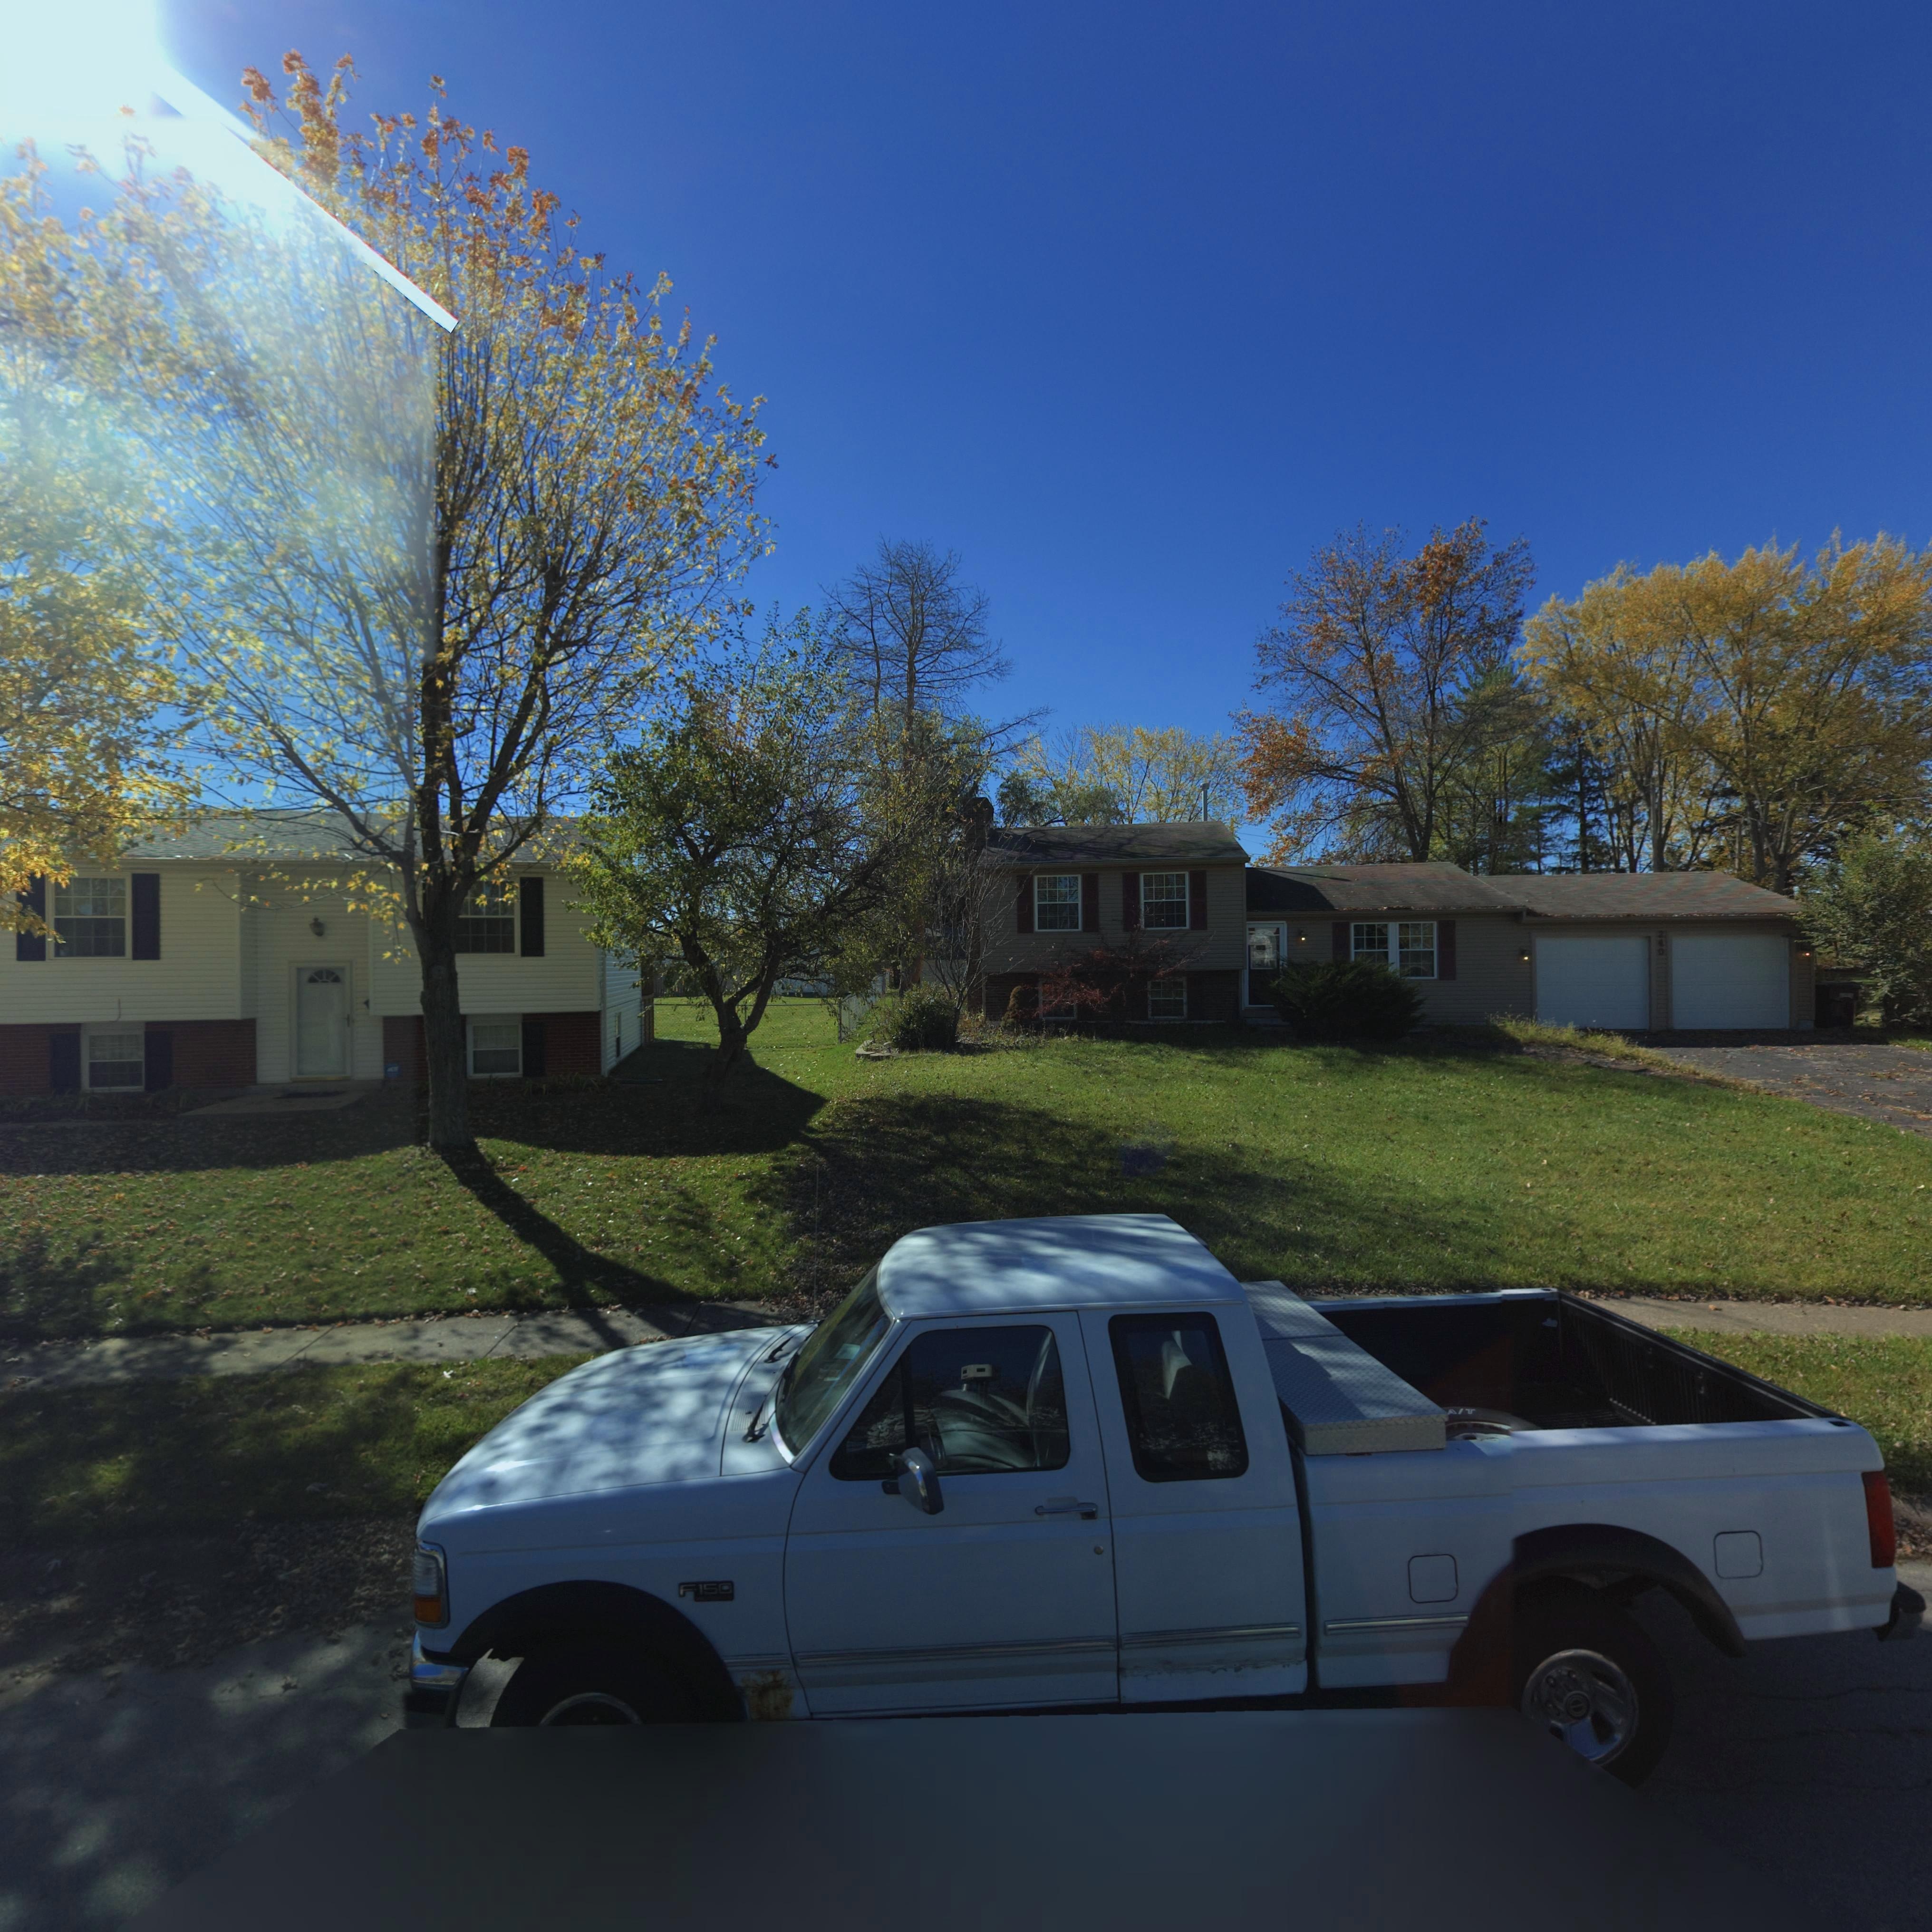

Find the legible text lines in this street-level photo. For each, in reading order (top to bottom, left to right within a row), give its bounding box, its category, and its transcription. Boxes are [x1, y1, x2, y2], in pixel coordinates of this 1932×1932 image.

[1657, 929, 1664, 955] StreetNumber: 240